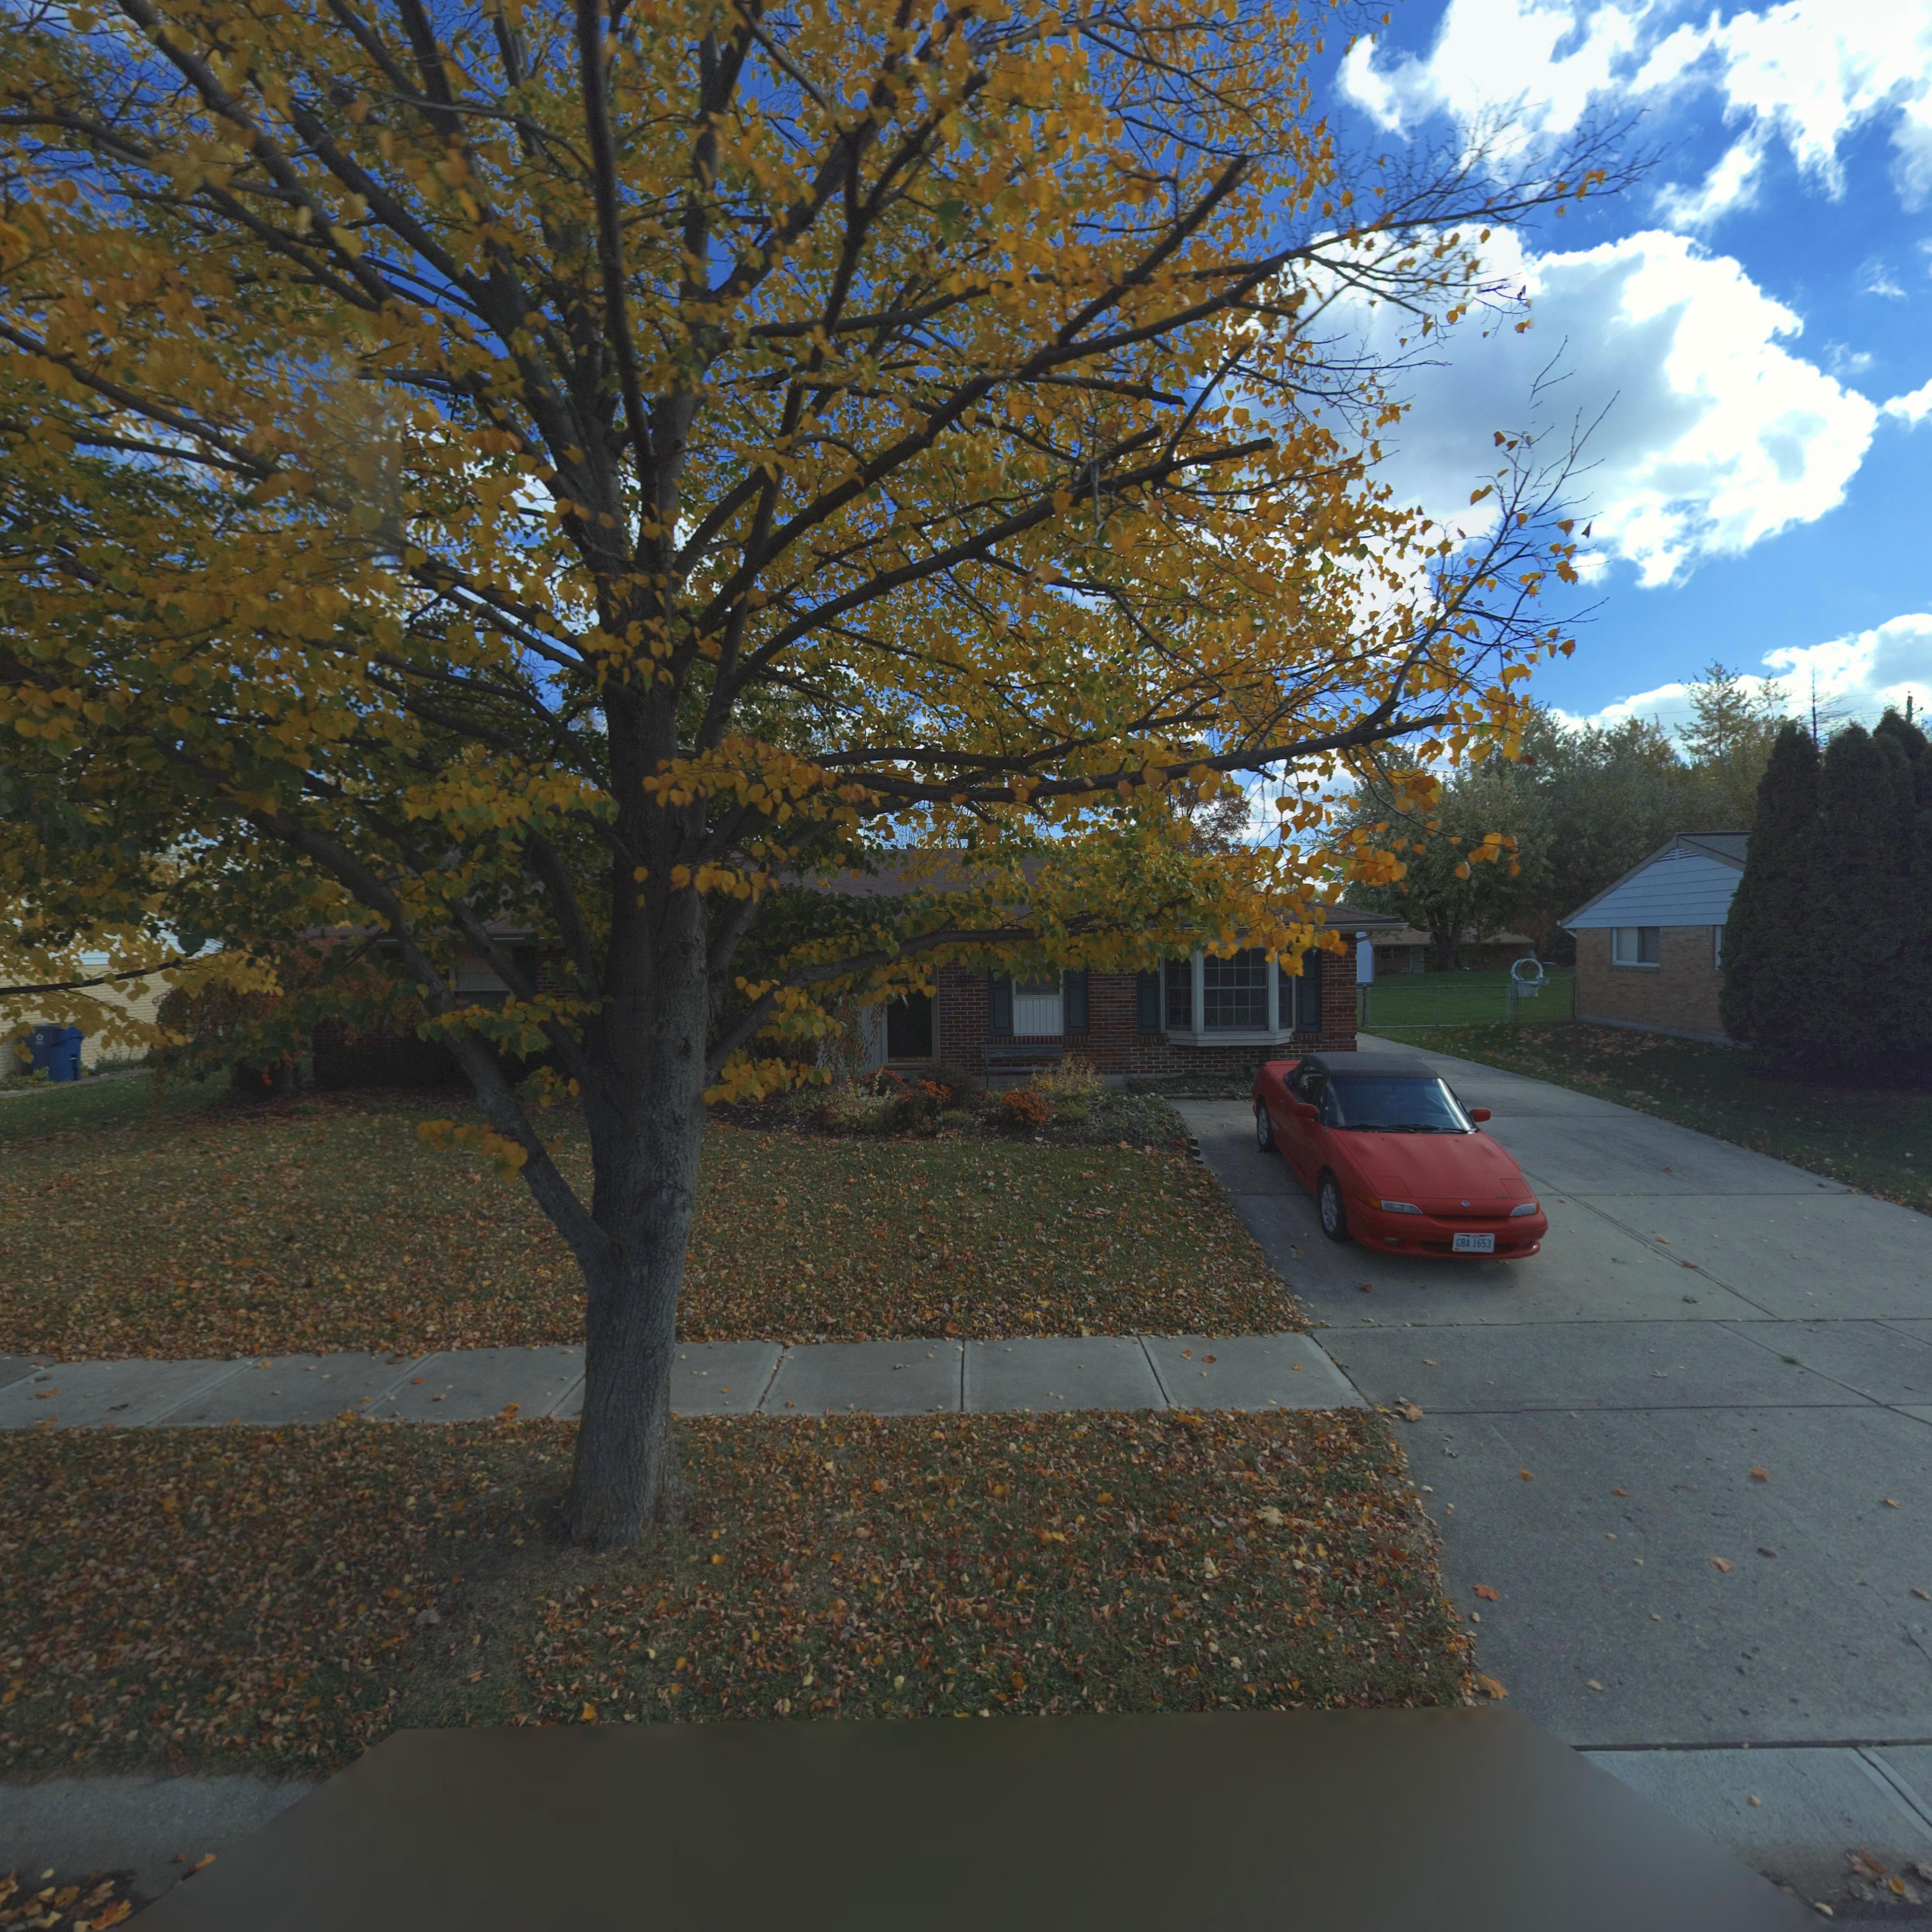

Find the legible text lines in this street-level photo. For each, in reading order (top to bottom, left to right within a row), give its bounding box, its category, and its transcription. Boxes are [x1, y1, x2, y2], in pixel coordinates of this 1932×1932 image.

[956, 976, 974, 982] StreetNumber: 7930